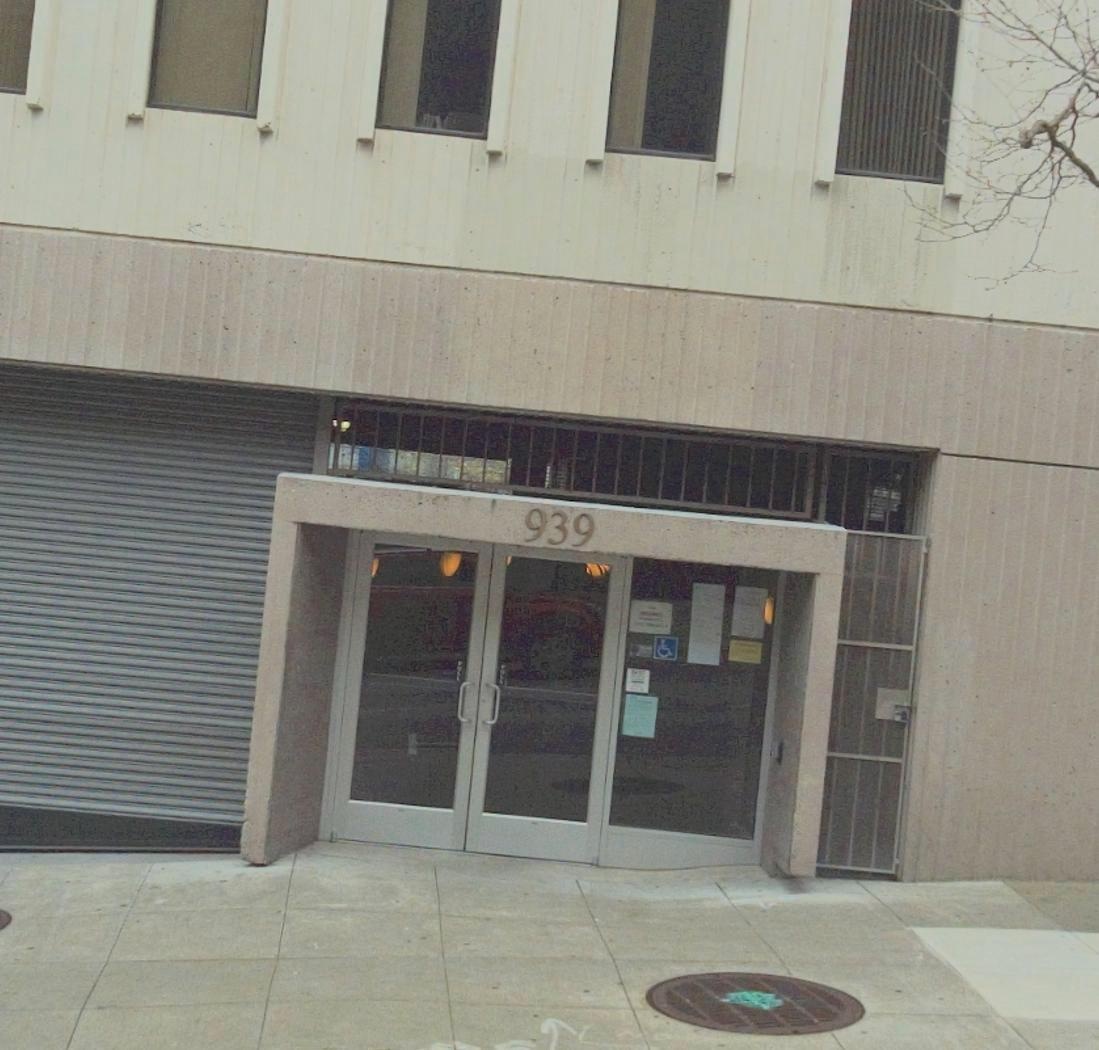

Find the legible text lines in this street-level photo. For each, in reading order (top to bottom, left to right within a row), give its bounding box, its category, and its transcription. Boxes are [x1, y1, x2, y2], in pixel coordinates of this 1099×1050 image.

[521, 506, 598, 550] StreetNumber: 939